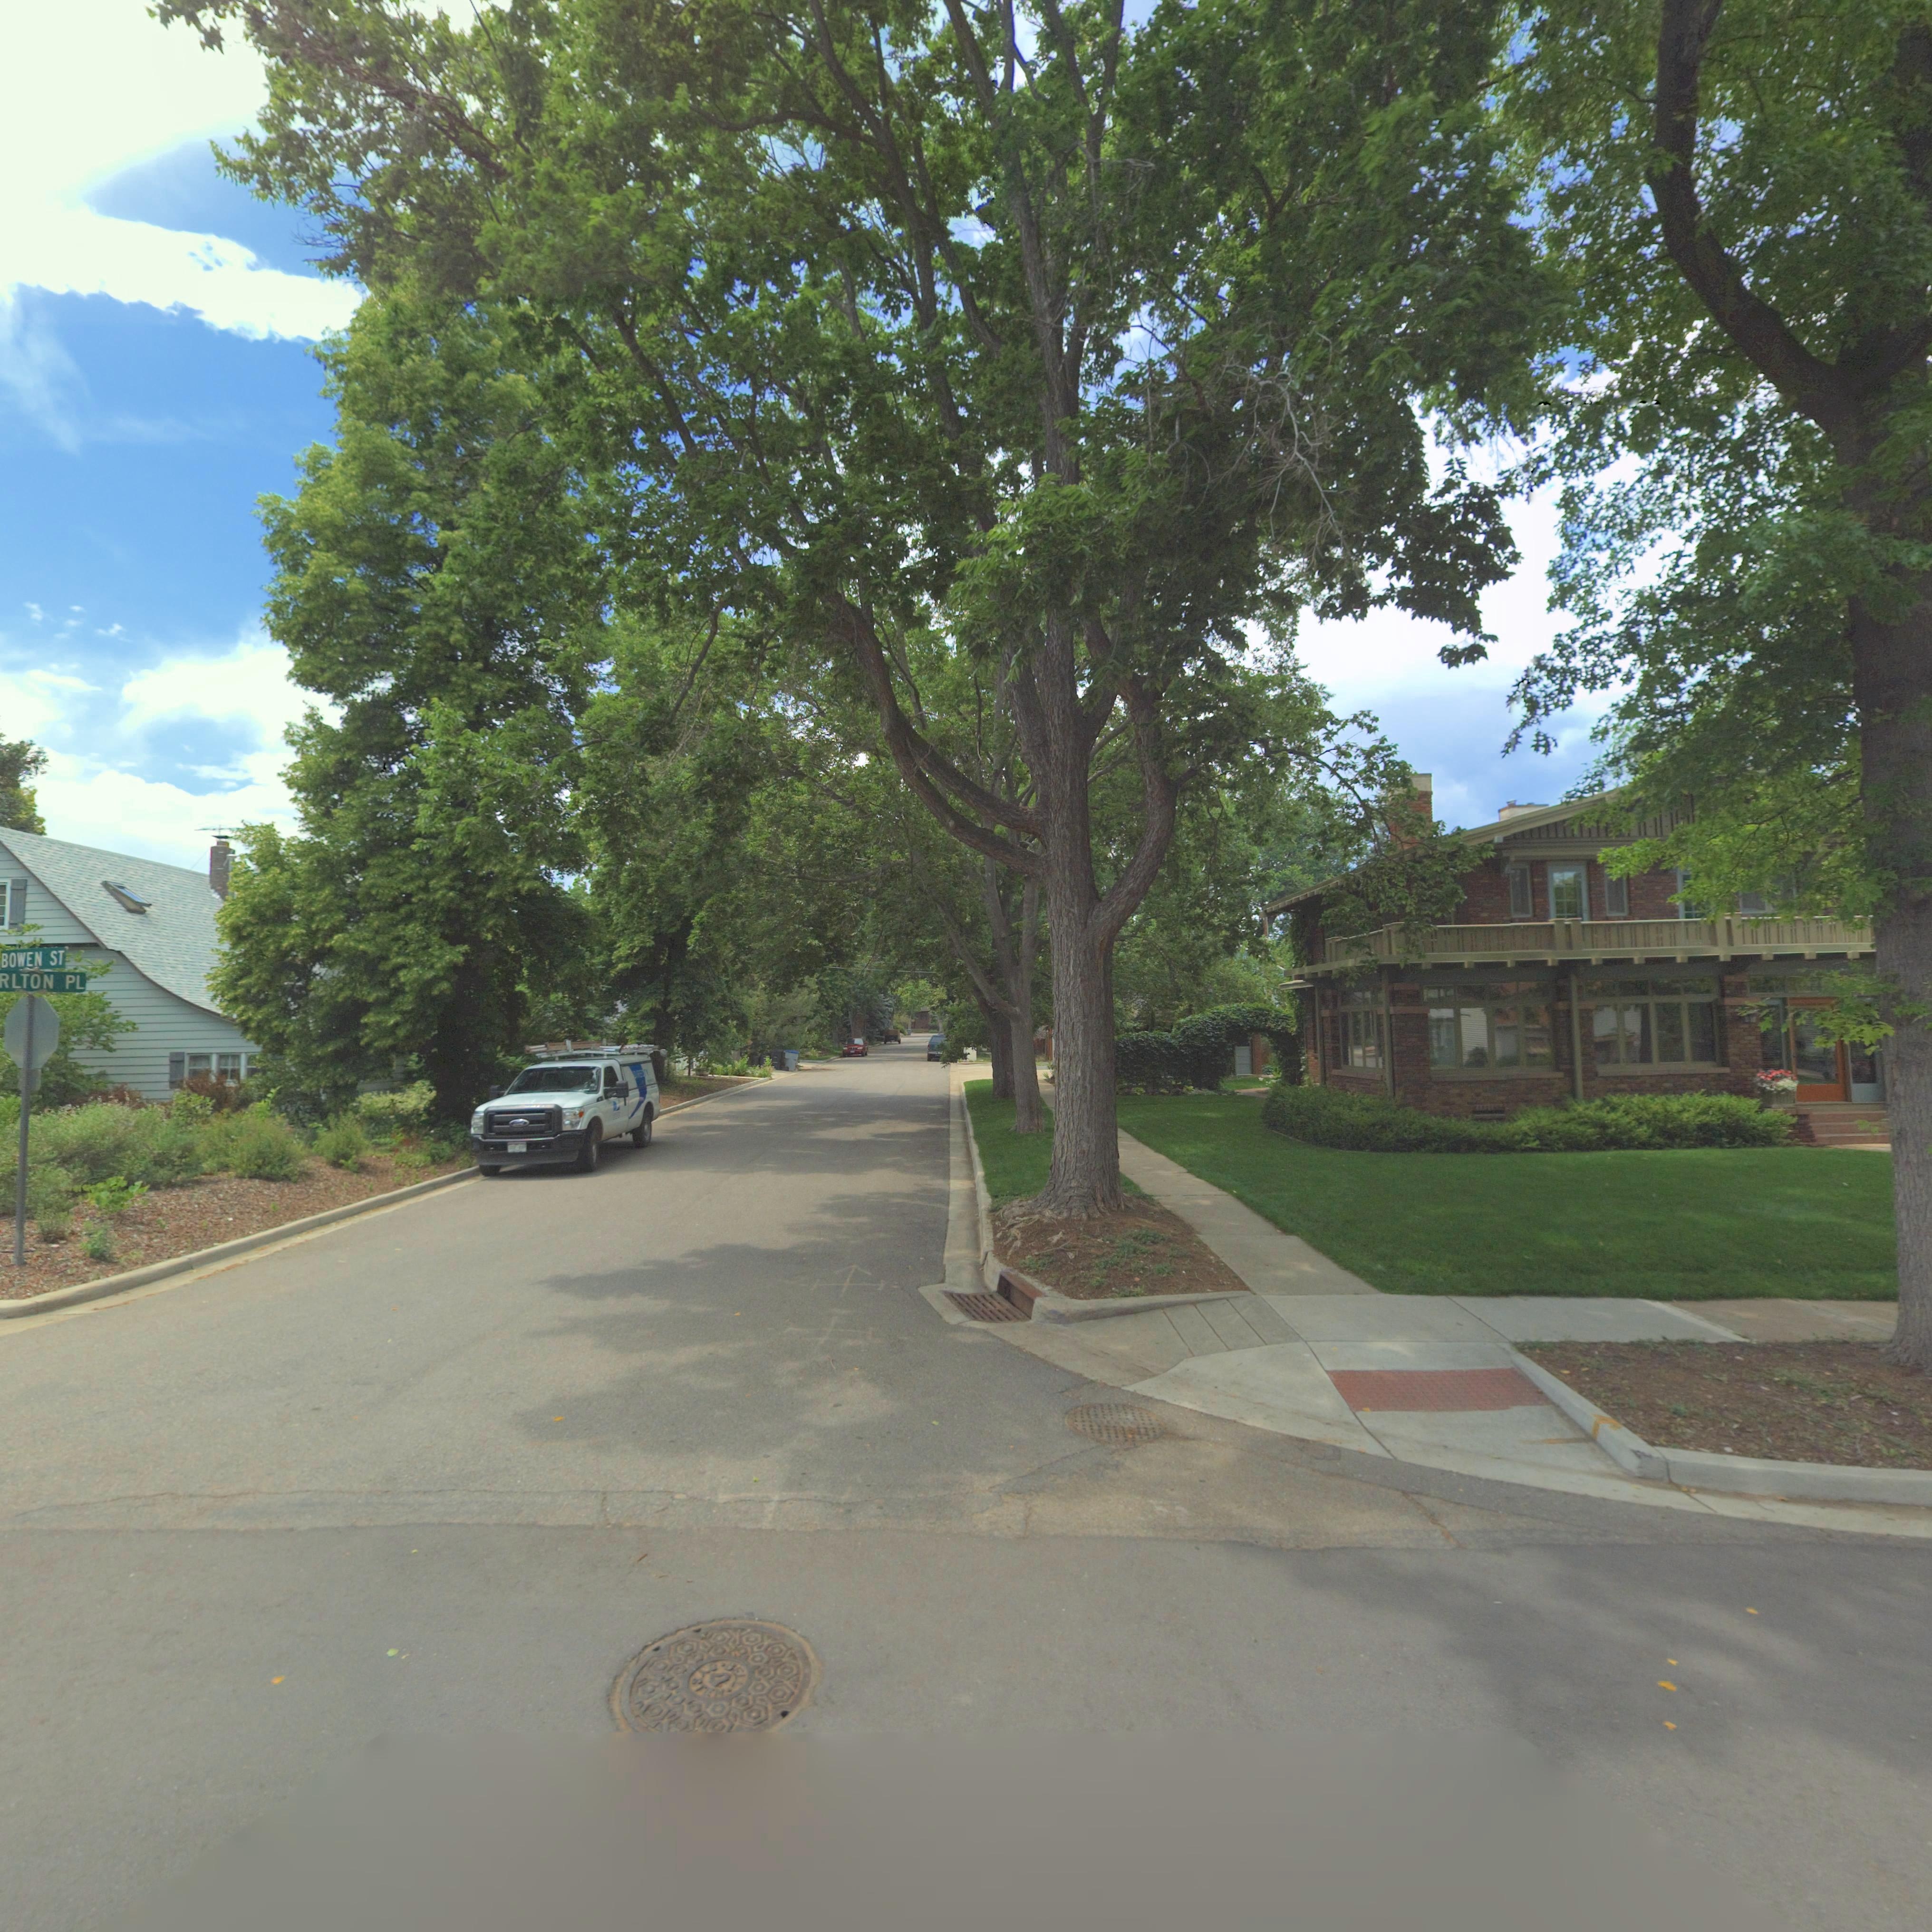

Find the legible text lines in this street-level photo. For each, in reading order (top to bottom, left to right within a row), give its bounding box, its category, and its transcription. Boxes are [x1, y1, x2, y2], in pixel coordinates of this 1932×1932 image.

[0, 950, 65, 968] StreetName: BOWEN ST
[11, 973, 85, 990] StreetName: LTON PL